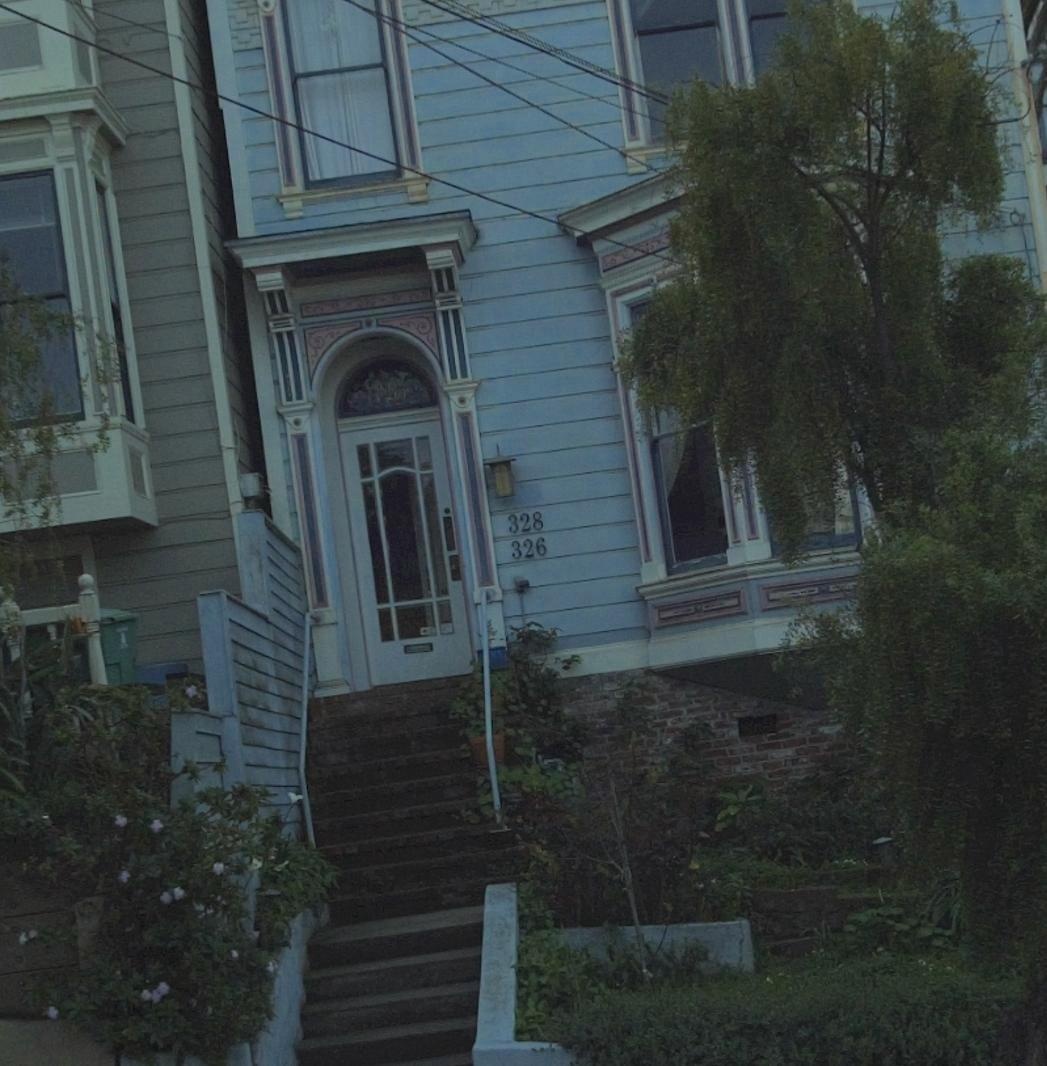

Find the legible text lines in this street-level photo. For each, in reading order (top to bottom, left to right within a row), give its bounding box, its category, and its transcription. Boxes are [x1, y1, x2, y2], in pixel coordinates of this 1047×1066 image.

[507, 510, 544, 535] StreetNumber: 328
[510, 536, 548, 562] StreetNumber: 326